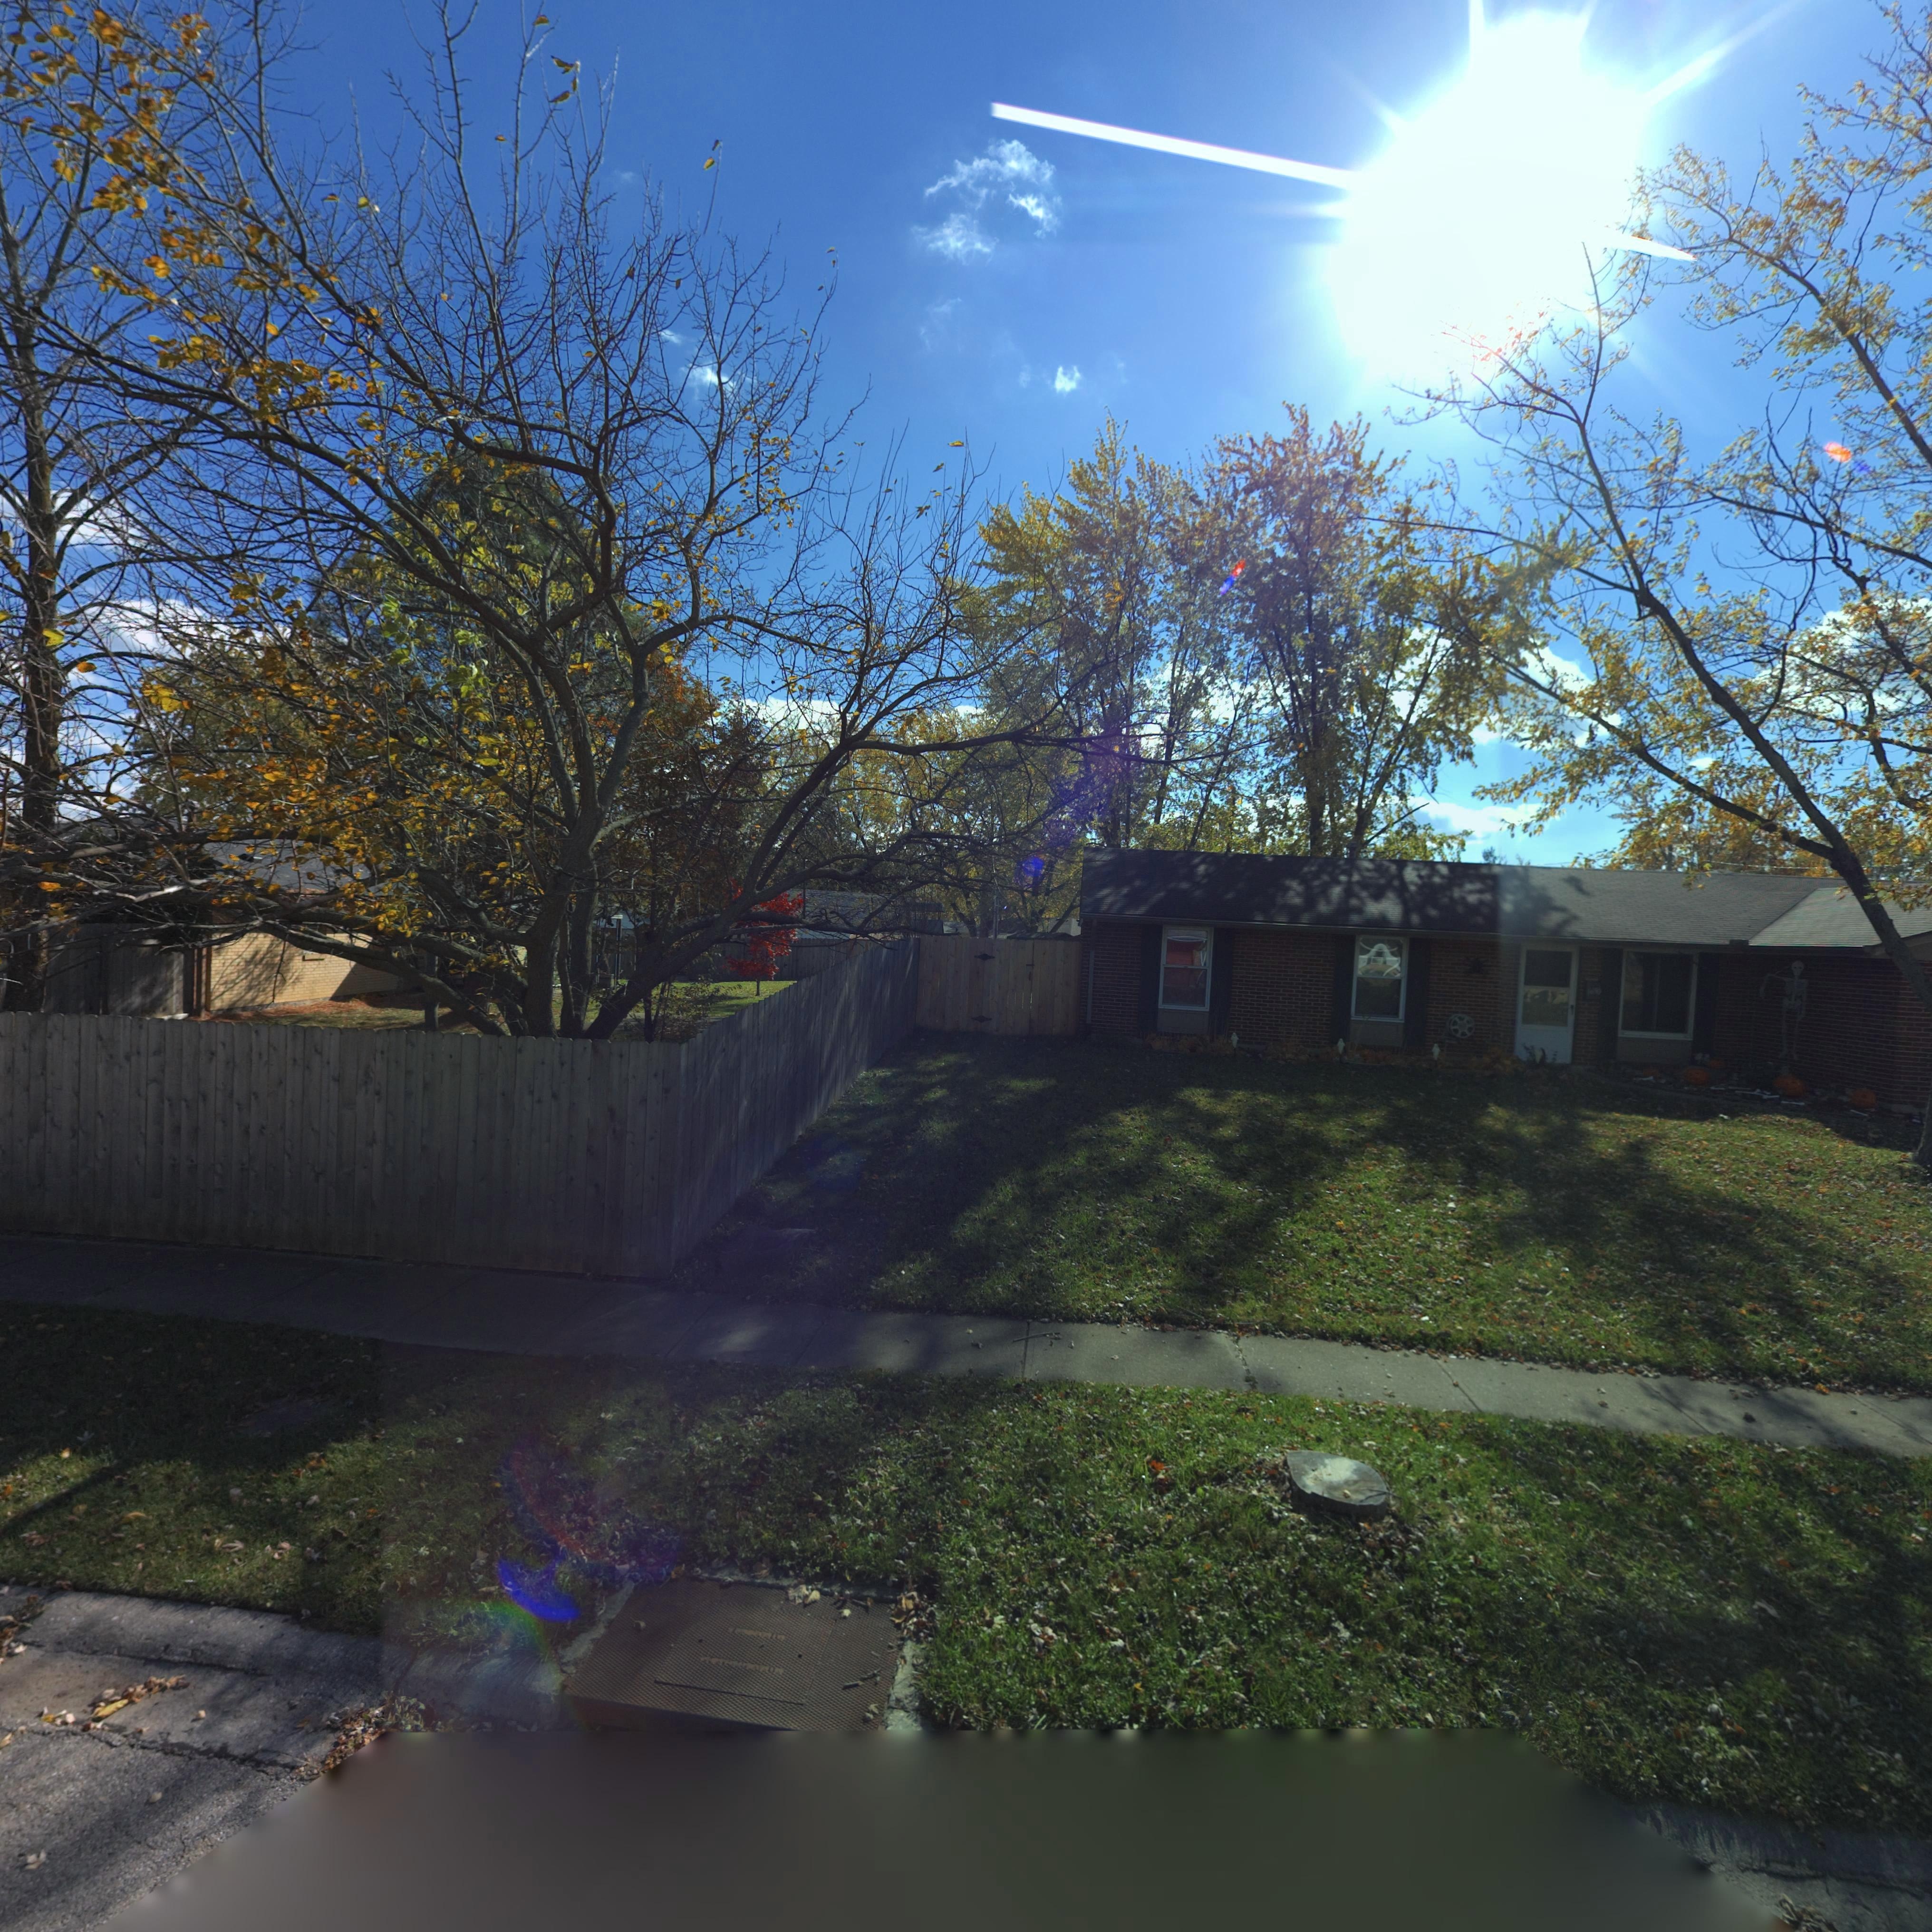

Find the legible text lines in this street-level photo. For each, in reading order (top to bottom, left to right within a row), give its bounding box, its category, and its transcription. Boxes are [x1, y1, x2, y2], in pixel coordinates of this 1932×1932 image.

[1586, 987, 1602, 995] StreetNumber: *650